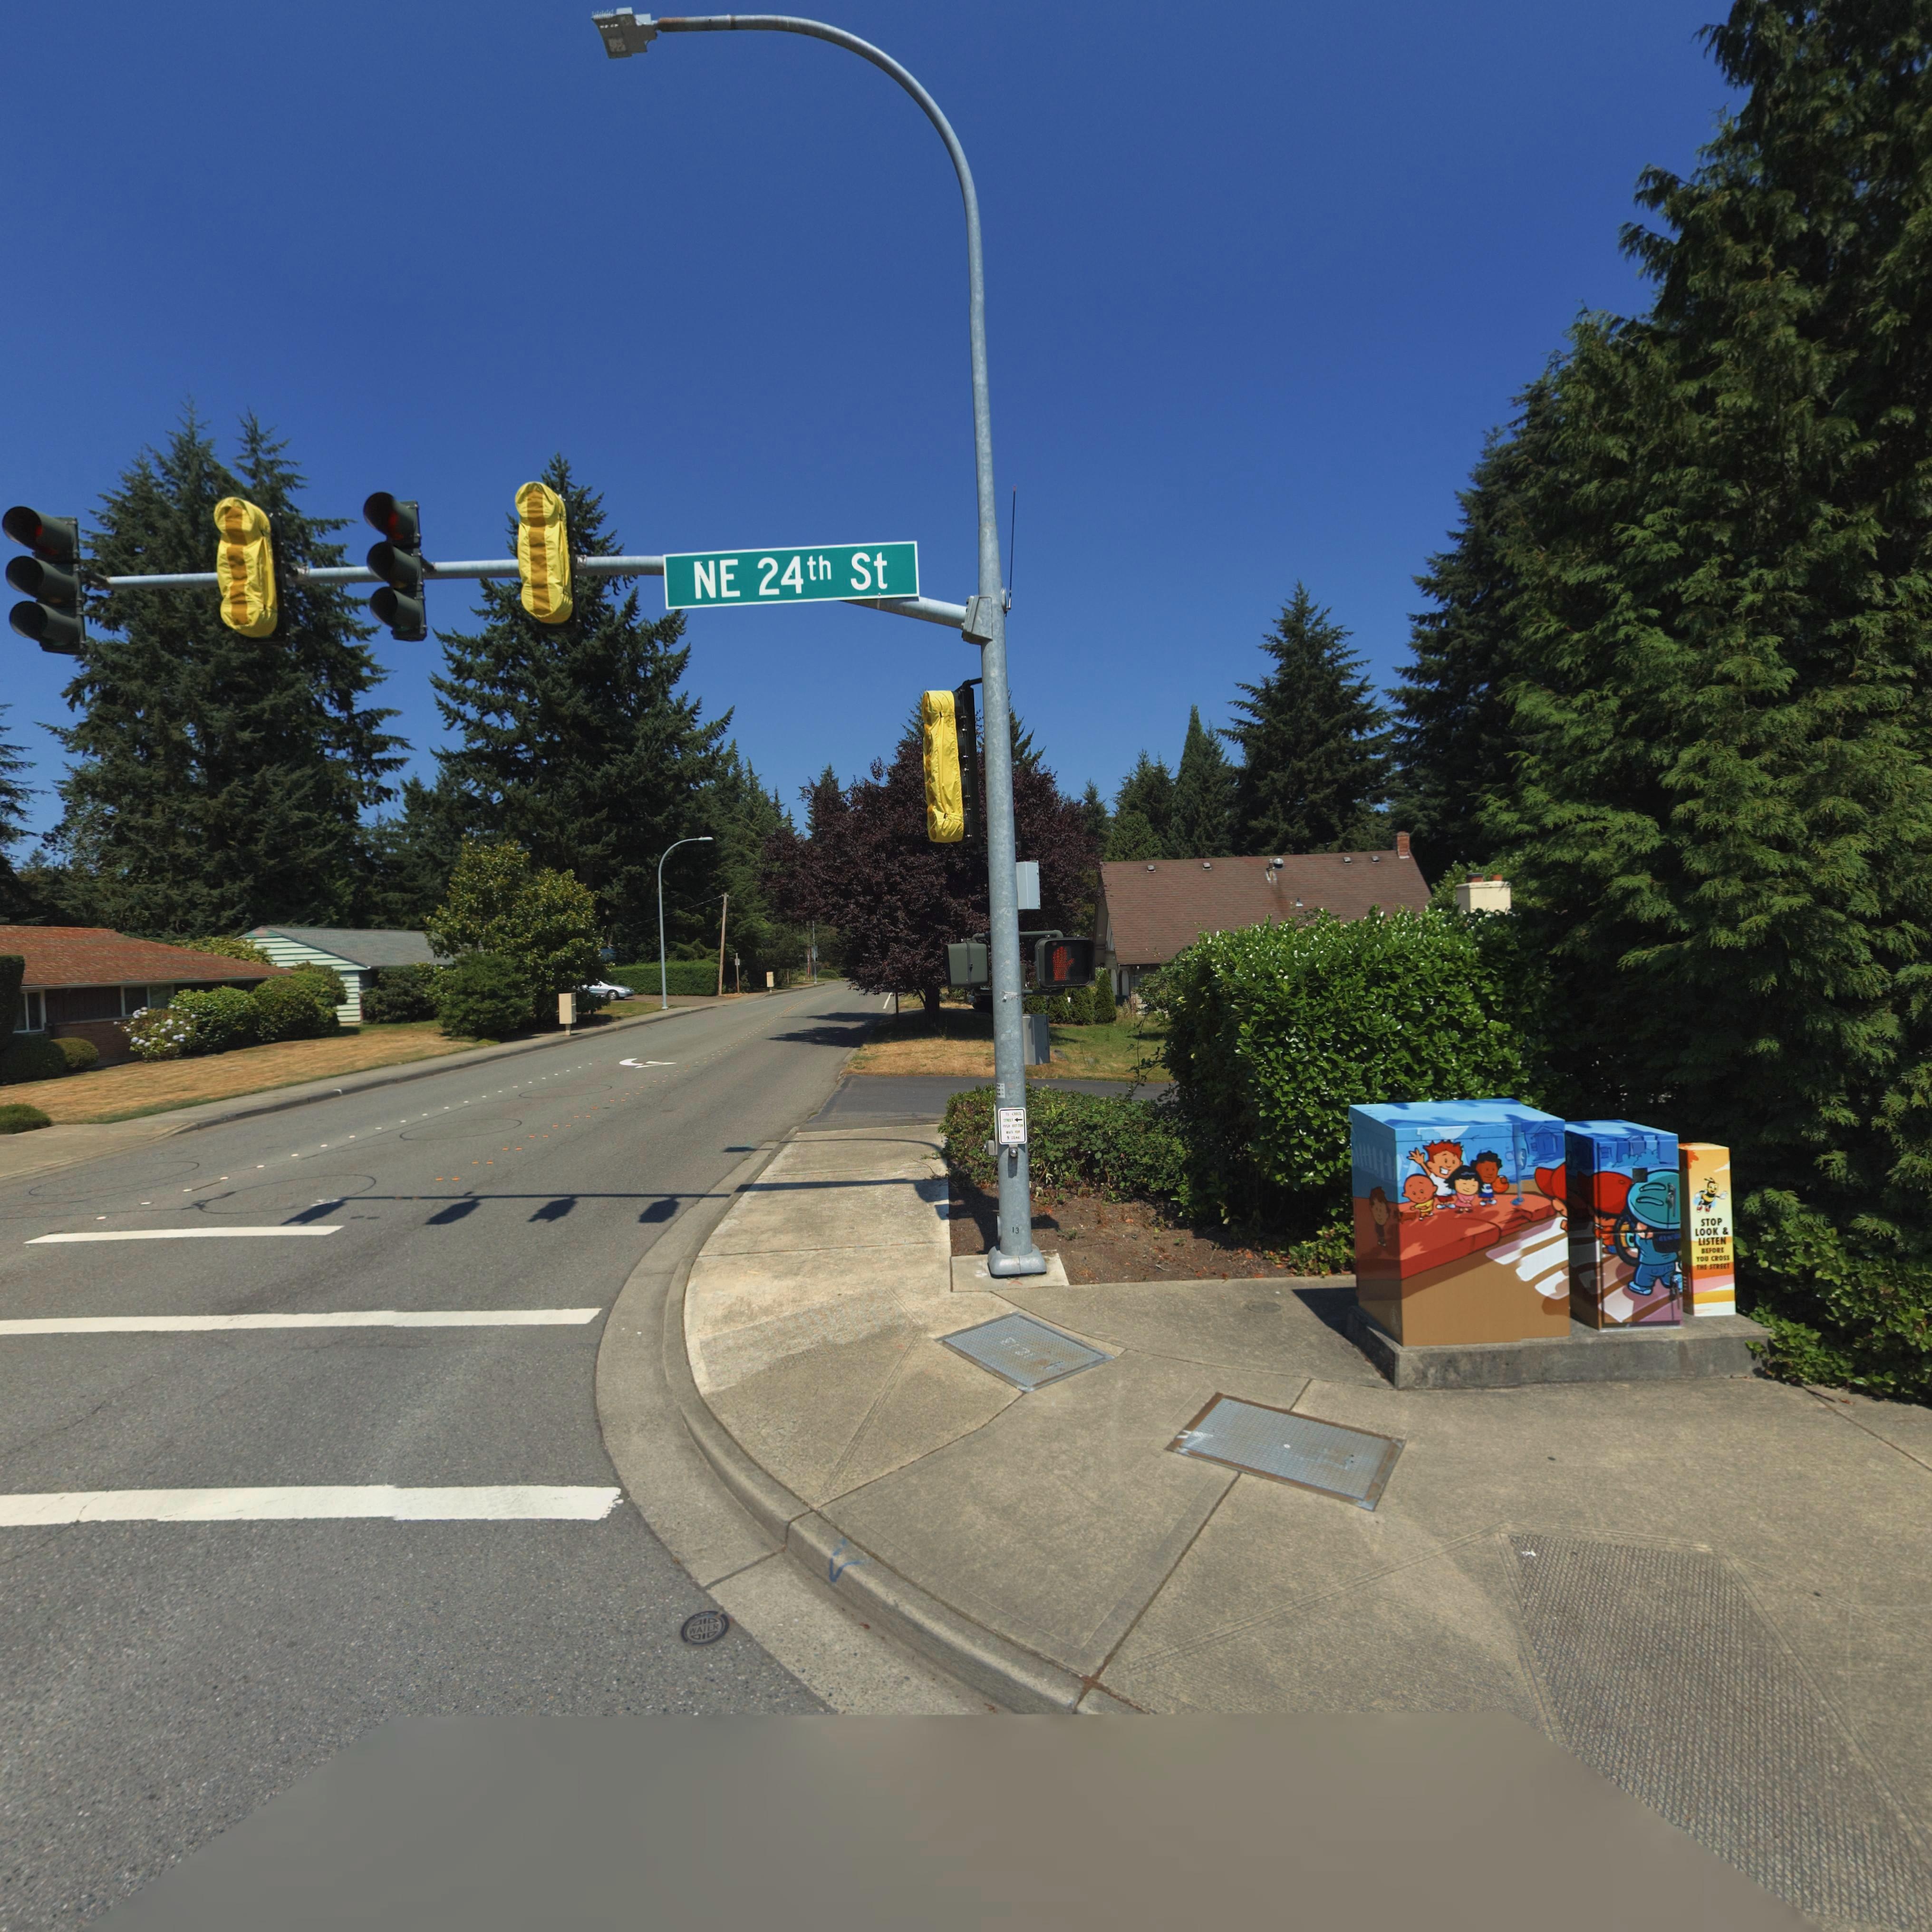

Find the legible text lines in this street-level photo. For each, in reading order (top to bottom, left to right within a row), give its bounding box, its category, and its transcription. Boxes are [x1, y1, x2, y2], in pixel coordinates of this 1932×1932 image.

[693, 551, 888, 599] StreetName: NE 24th St